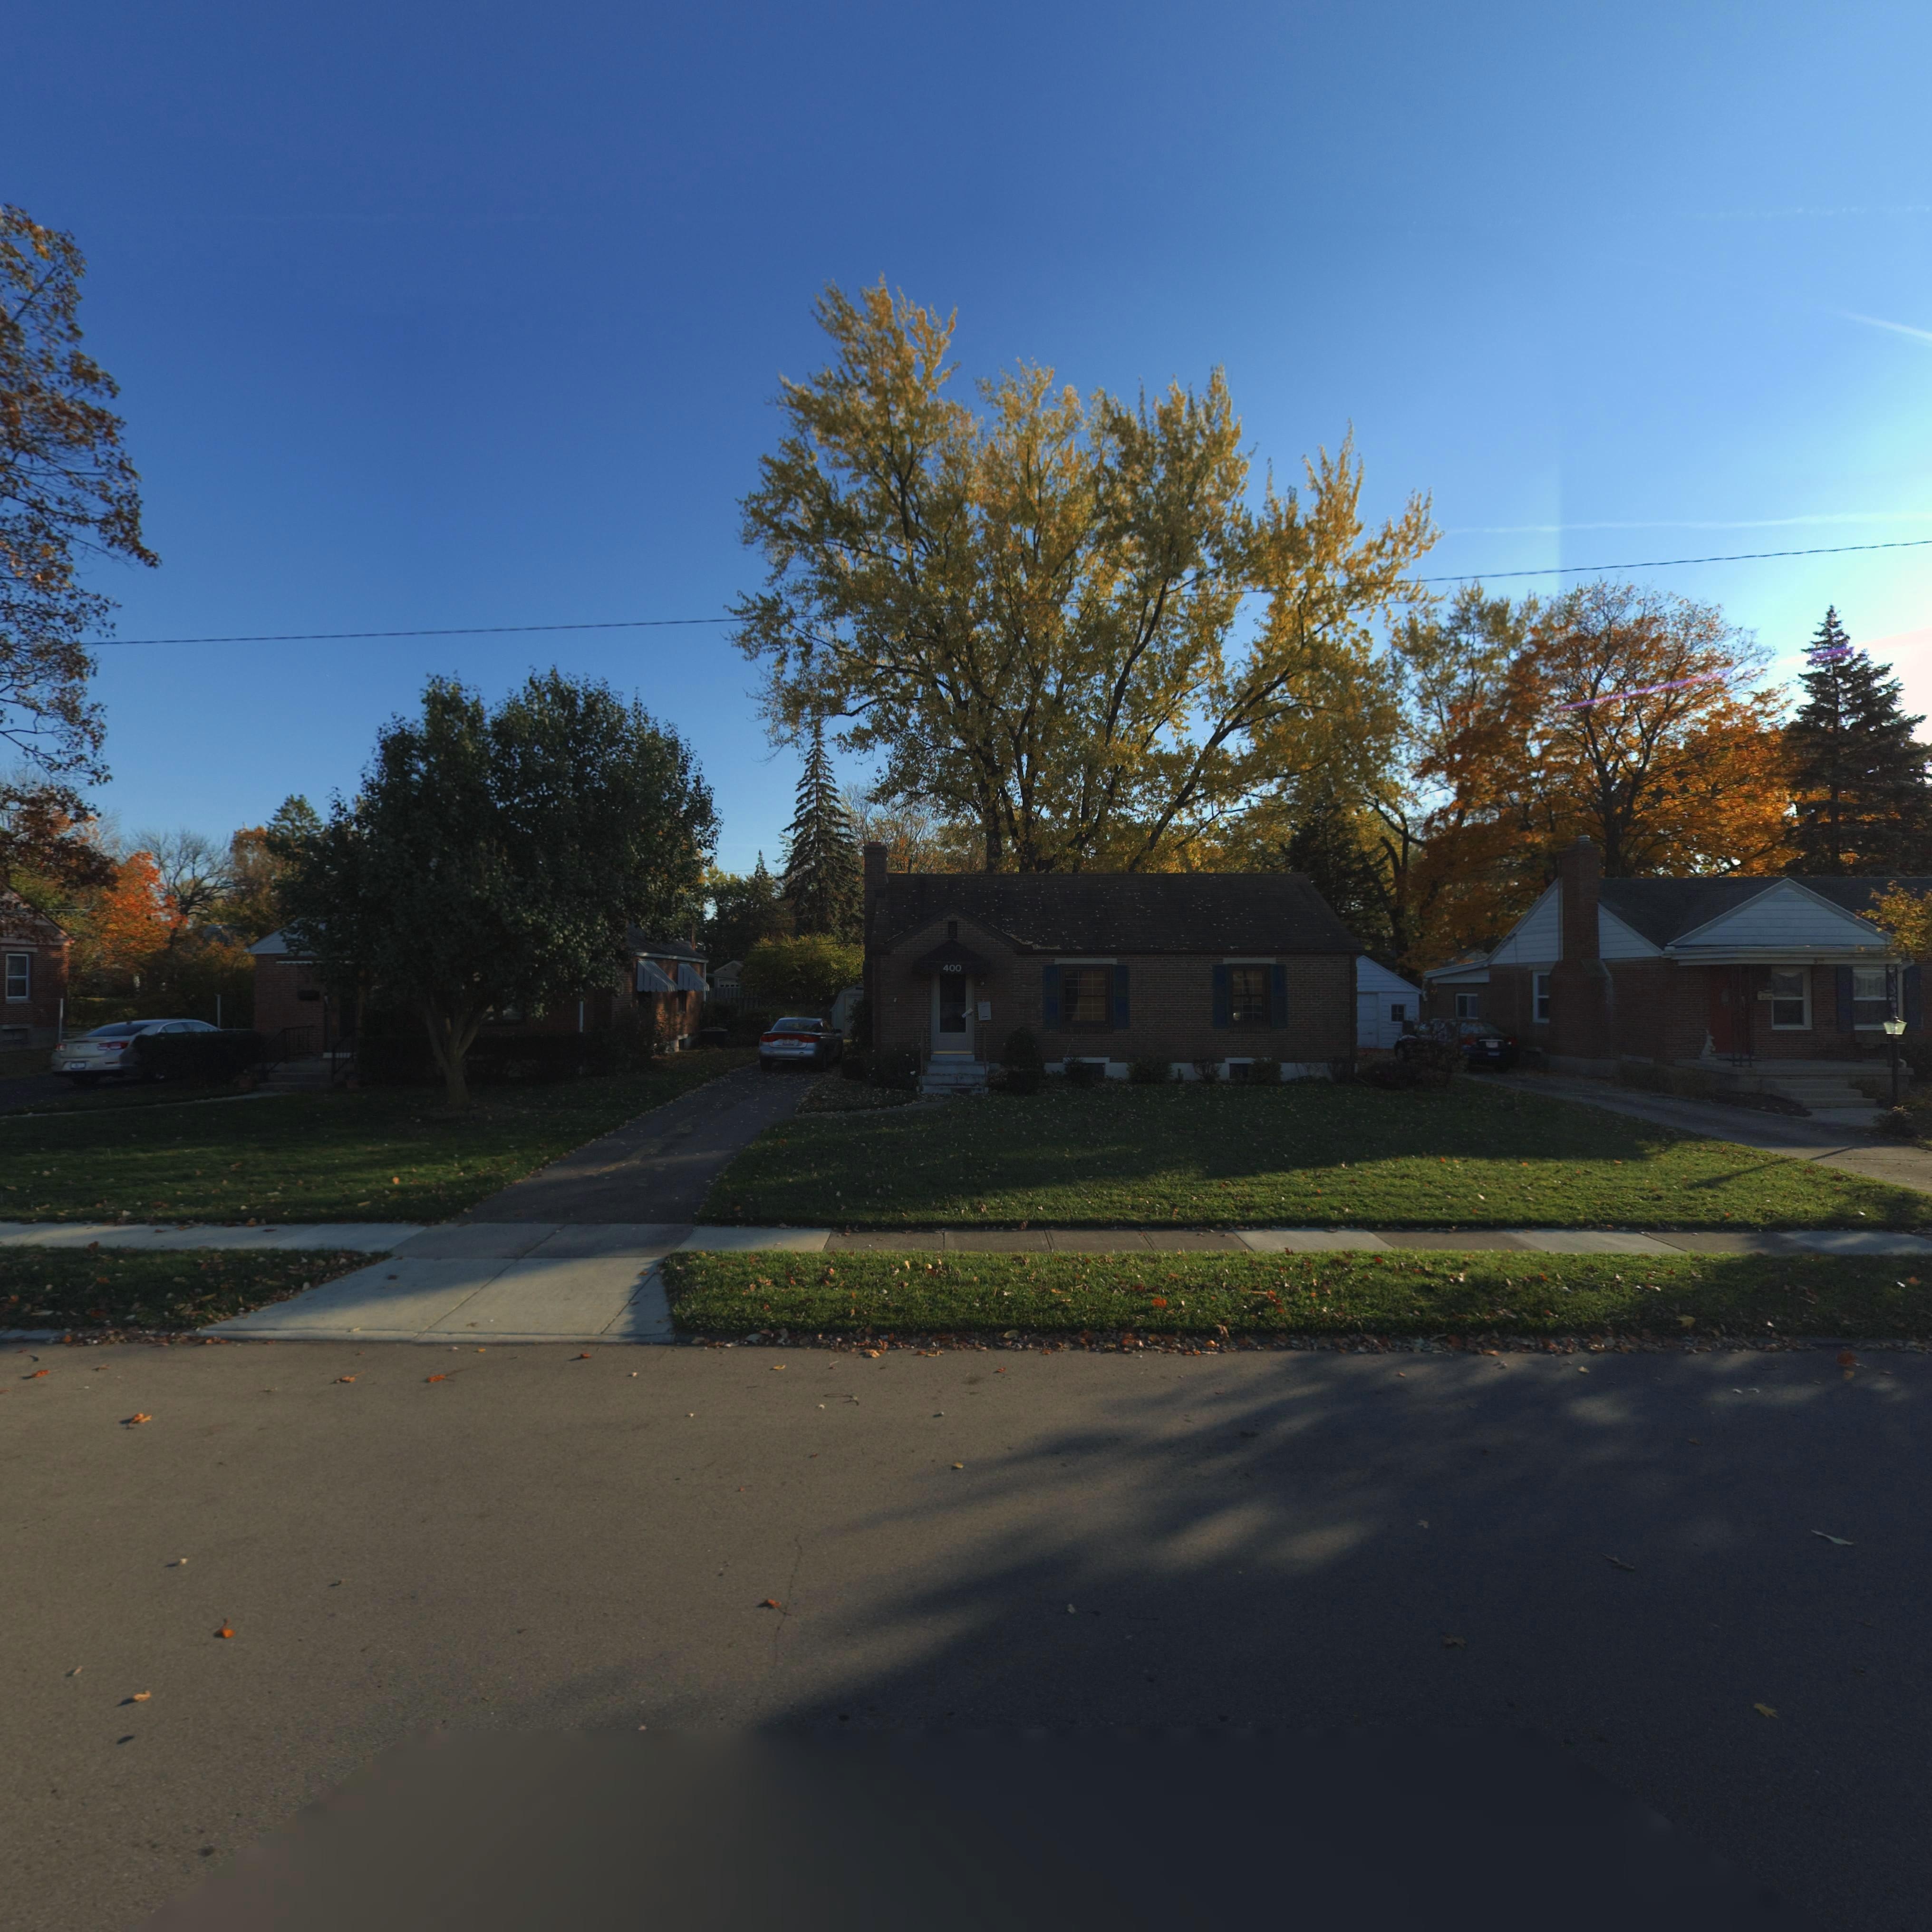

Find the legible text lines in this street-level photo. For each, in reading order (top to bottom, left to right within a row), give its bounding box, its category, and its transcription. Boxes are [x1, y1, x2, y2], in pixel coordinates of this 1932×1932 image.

[942, 963, 963, 973] StreetNumber: 400